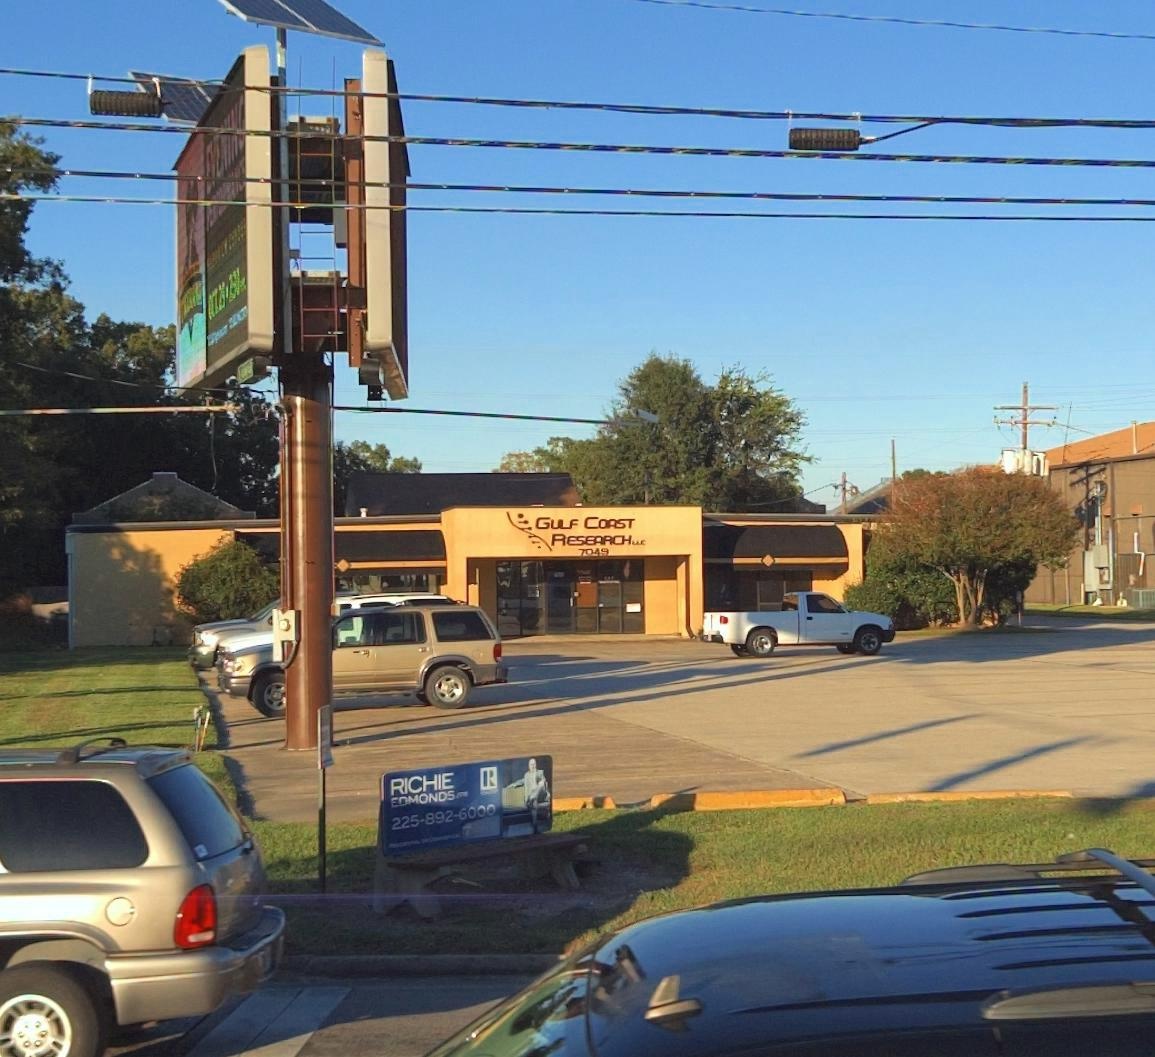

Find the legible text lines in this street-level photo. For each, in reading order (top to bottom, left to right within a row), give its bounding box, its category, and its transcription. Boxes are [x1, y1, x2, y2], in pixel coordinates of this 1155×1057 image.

[534, 516, 636, 530] BusinessName: GULF COAST
[551, 533, 647, 547] BusinessName: RESEARCH LLC
[577, 547, 610, 557] StreetNumber: 7049
[389, 771, 456, 797] None: RICHIE
[481, 768, 497, 788] None: R
[390, 789, 456, 809] None: EDMONDS
[391, 802, 496, 831] None: 225-892-6000